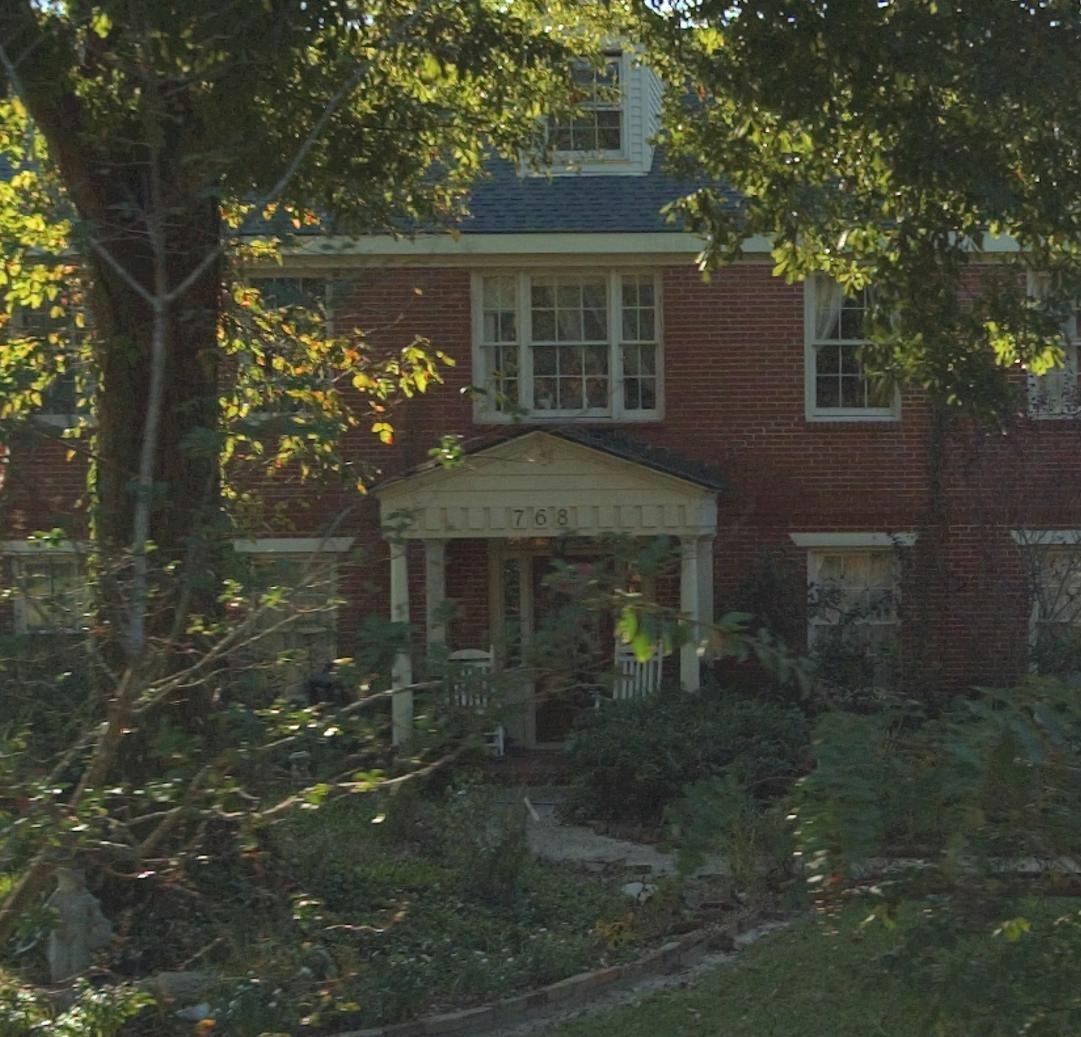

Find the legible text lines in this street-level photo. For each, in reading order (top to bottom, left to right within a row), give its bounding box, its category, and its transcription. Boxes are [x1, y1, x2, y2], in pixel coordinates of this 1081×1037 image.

[512, 508, 569, 527] StreetNumber: 768